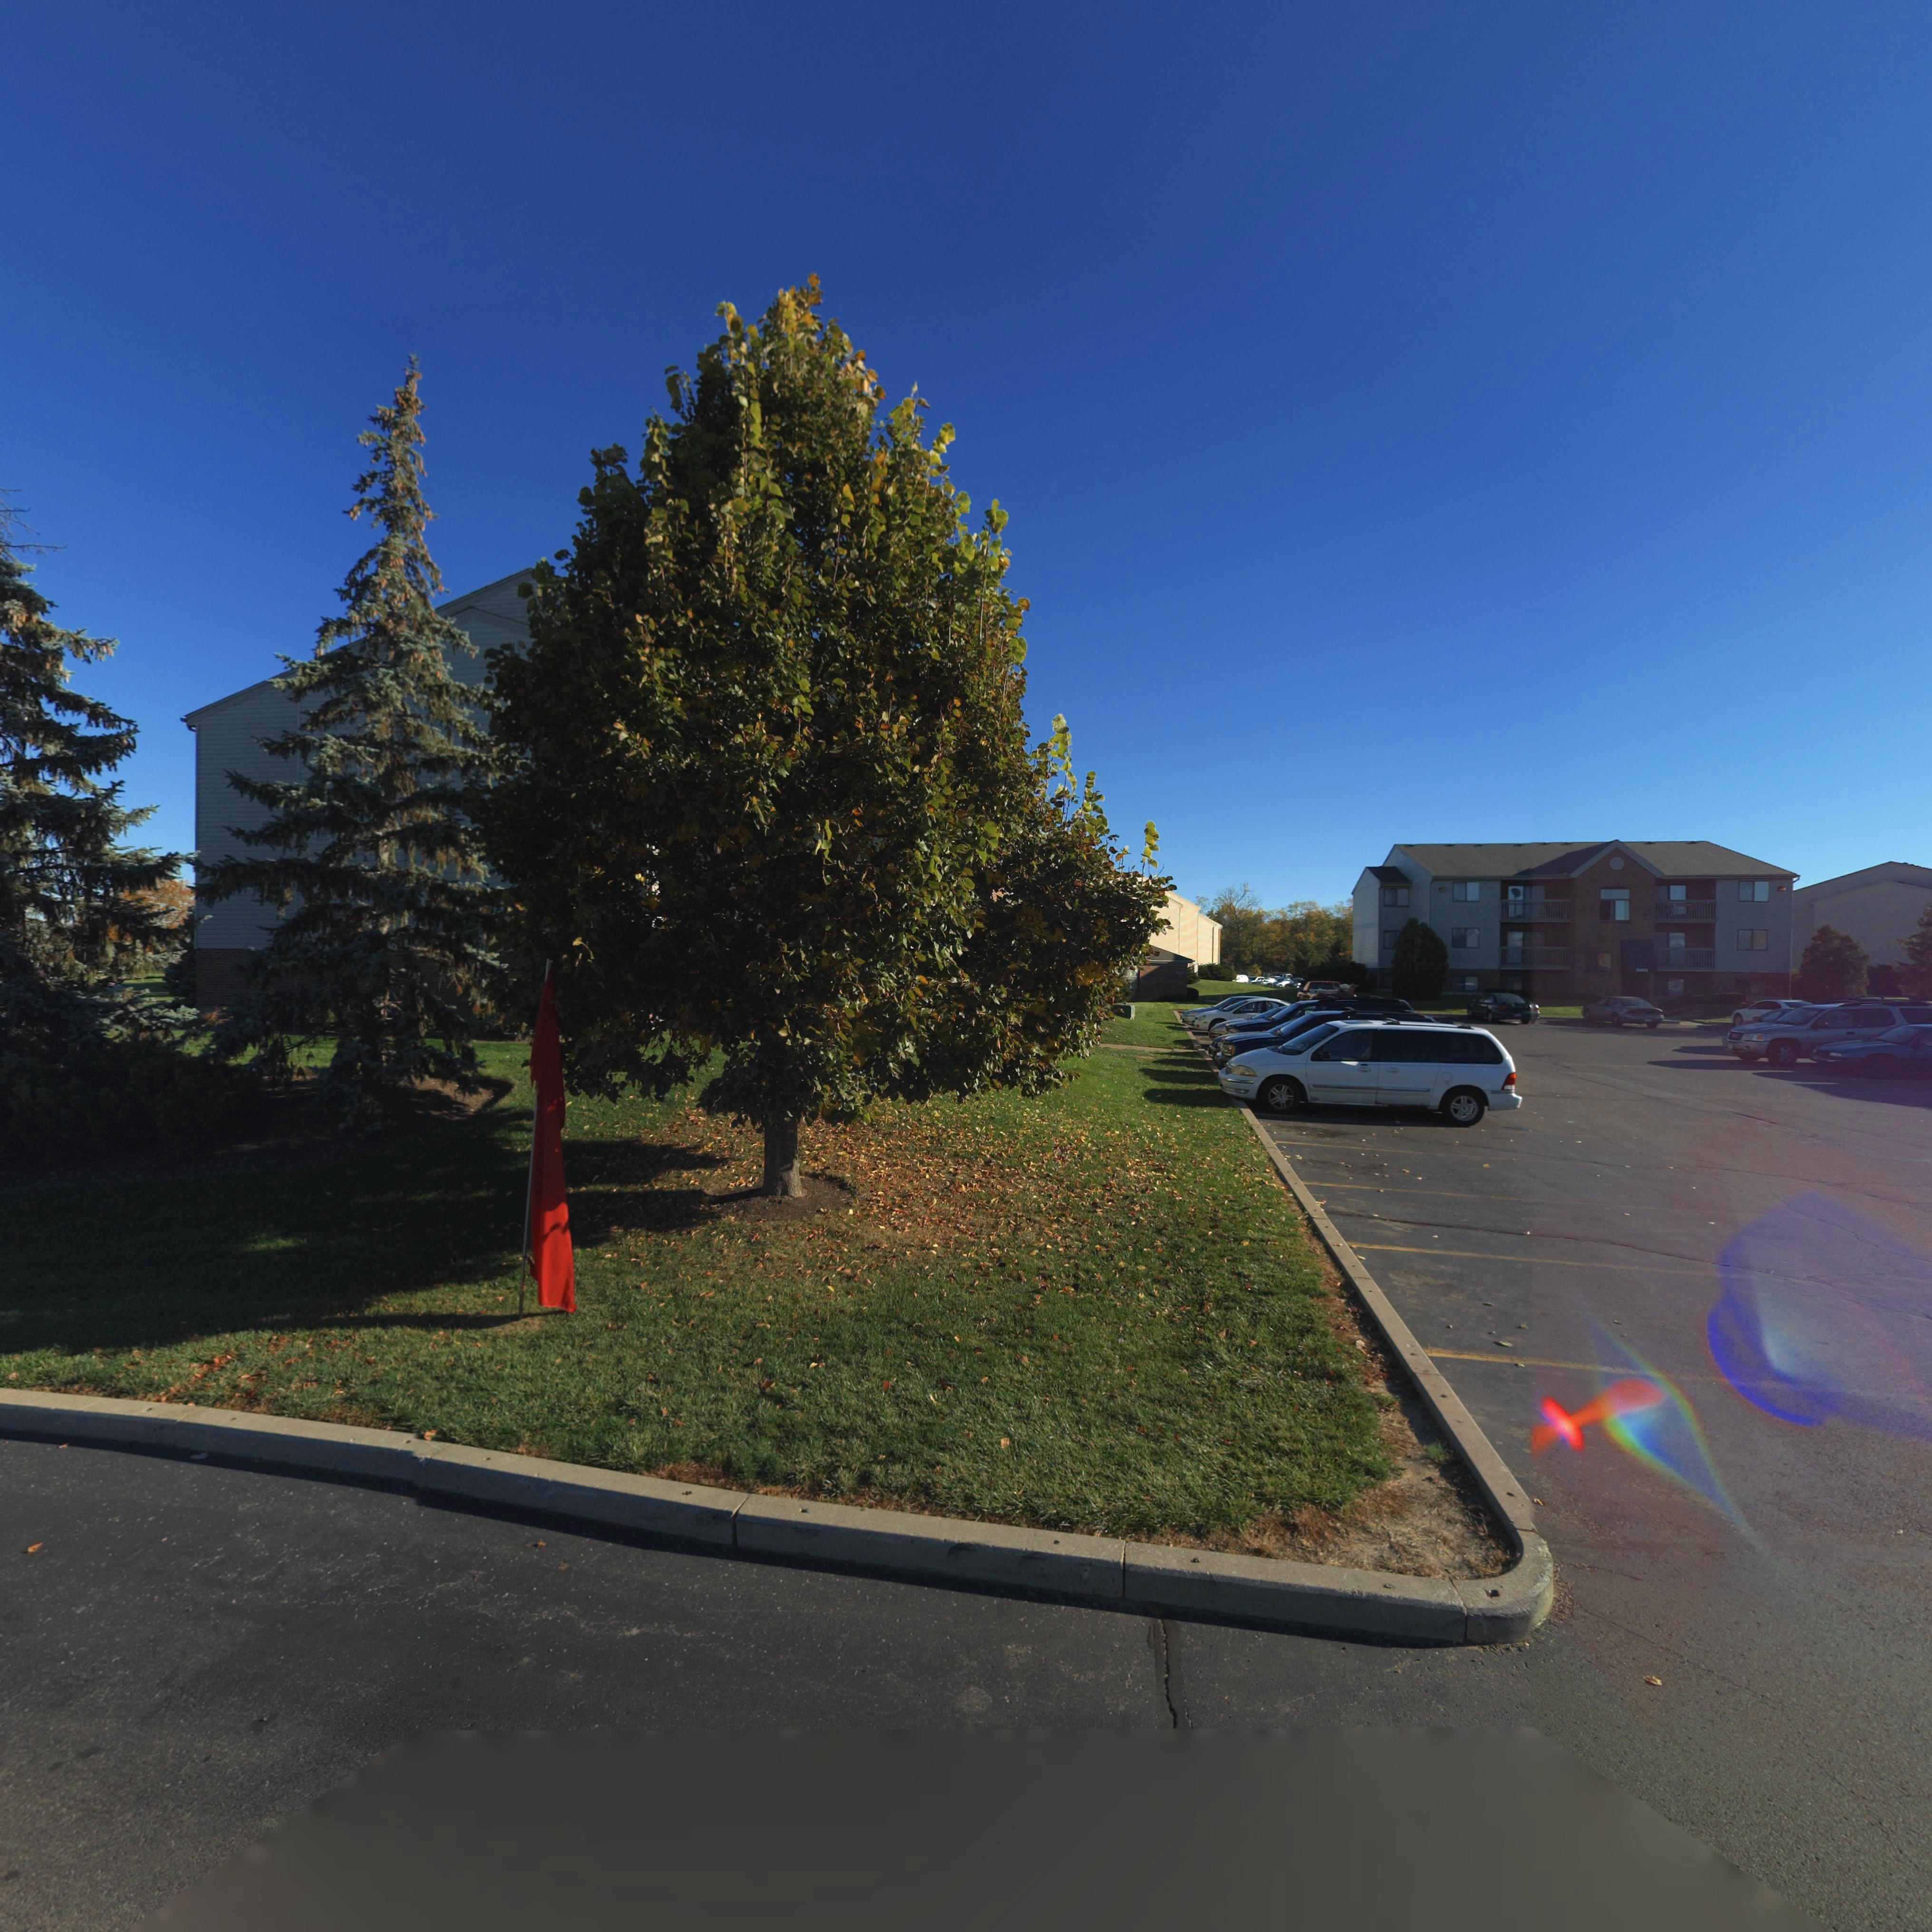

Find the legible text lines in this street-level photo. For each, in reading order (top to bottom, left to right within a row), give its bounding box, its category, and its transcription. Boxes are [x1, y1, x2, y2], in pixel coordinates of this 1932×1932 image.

[1636, 968, 1648, 972] StreetNumber: 26*3